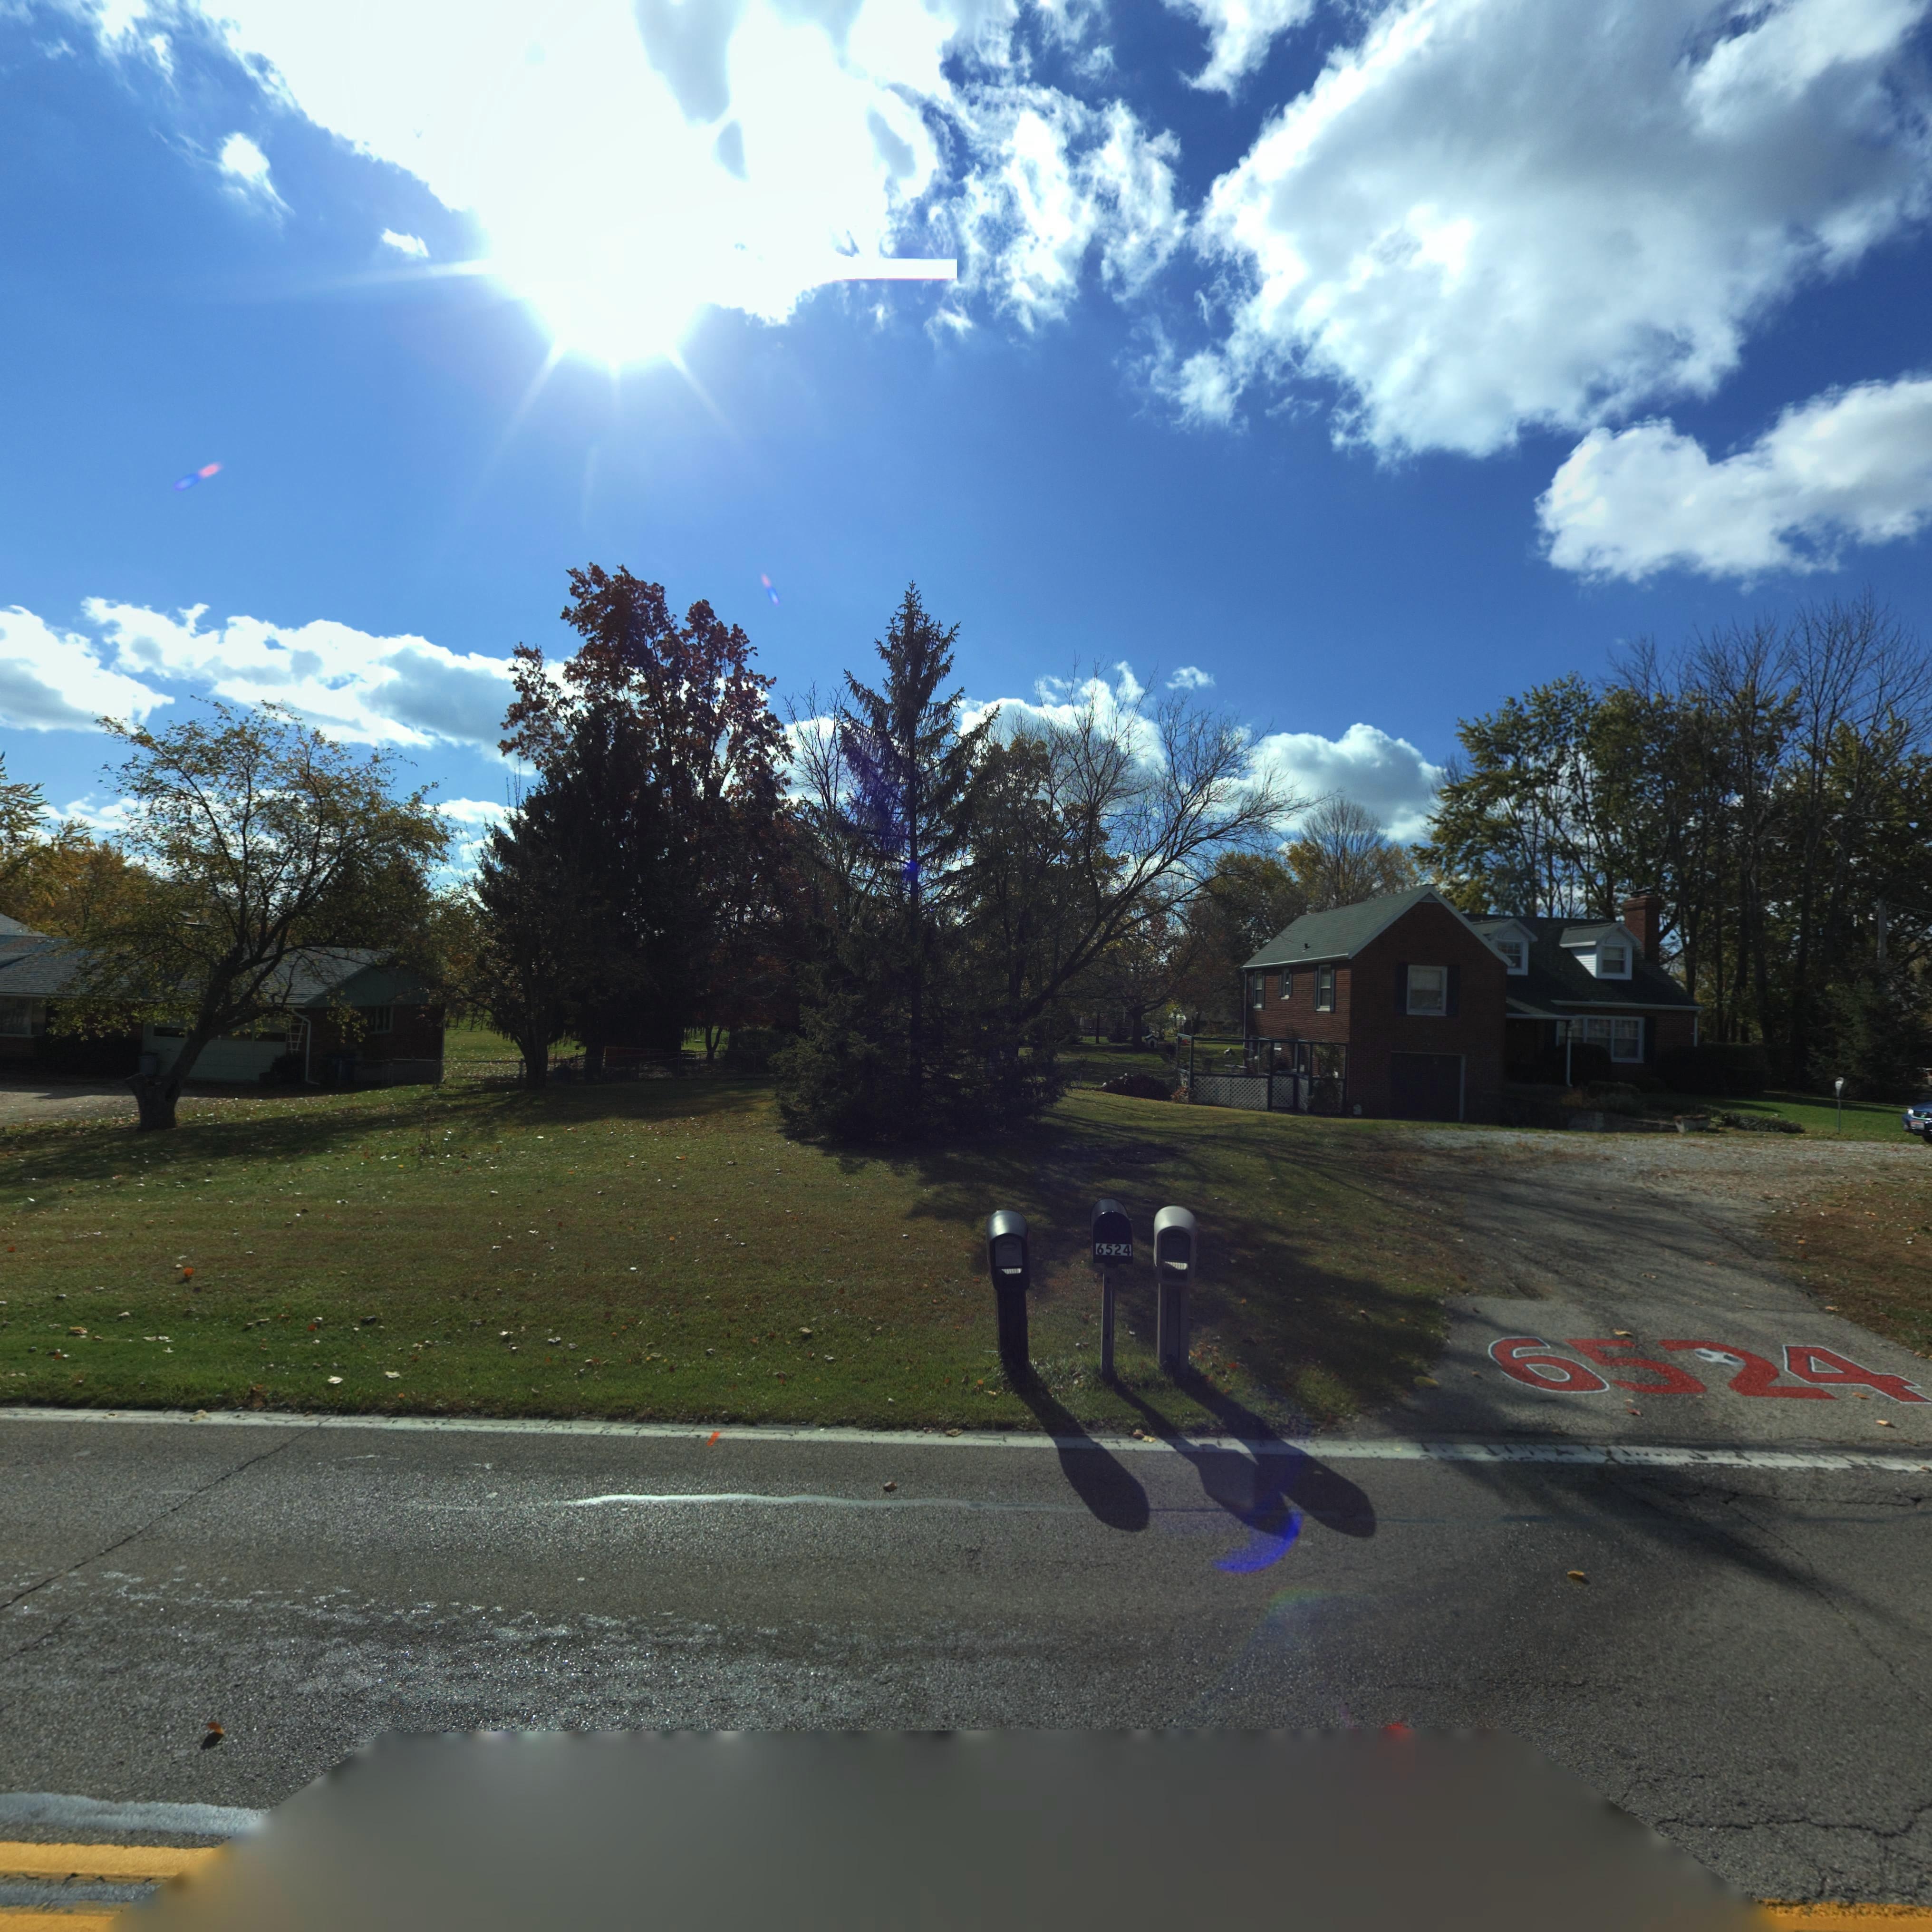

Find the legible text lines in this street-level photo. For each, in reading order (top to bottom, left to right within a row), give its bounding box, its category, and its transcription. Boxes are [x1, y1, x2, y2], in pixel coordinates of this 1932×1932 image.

[1095, 1243, 1131, 1256] StreetNumber: 6524
[1484, 1334, 1932, 1406] StreetNumber: 6524